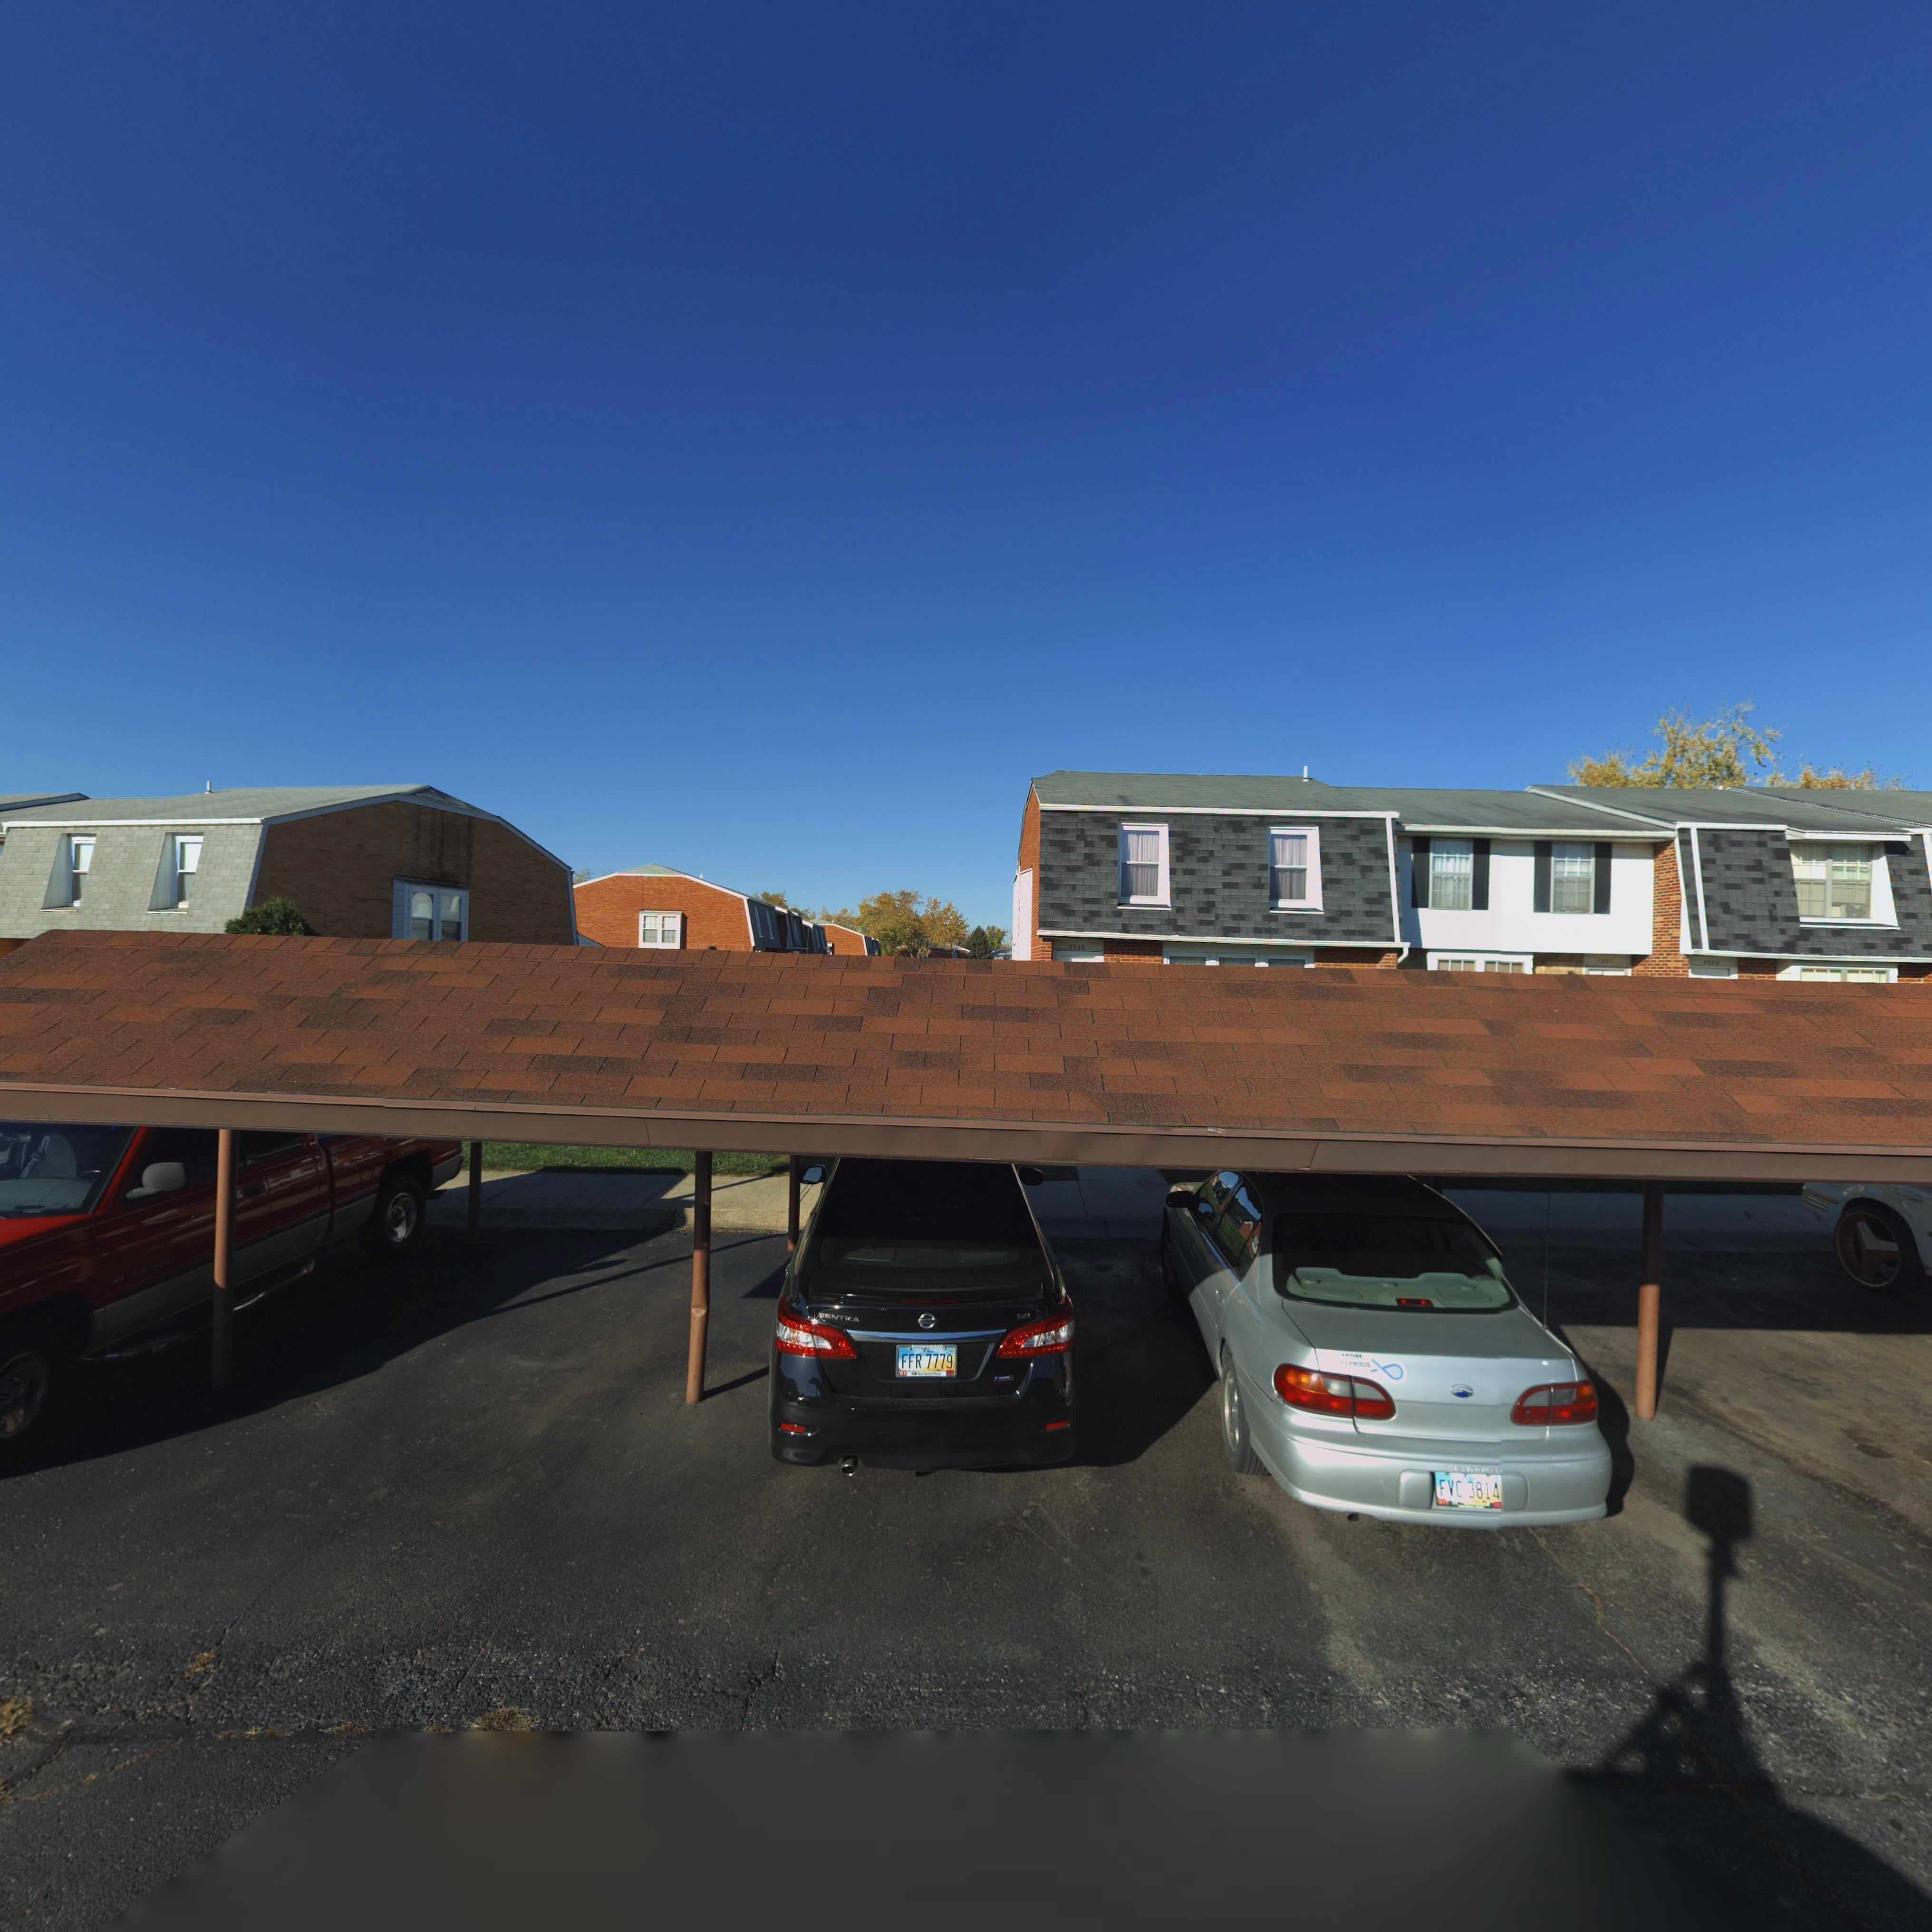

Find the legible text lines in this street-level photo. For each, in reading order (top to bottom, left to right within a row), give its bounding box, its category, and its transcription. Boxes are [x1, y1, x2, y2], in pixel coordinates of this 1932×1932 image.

[1069, 944, 1085, 950] StreetNumber: 7535
[1596, 957, 1612, 963] StreetNumber: 7***
[1702, 960, 1719, 965] StreetNumber: 7539